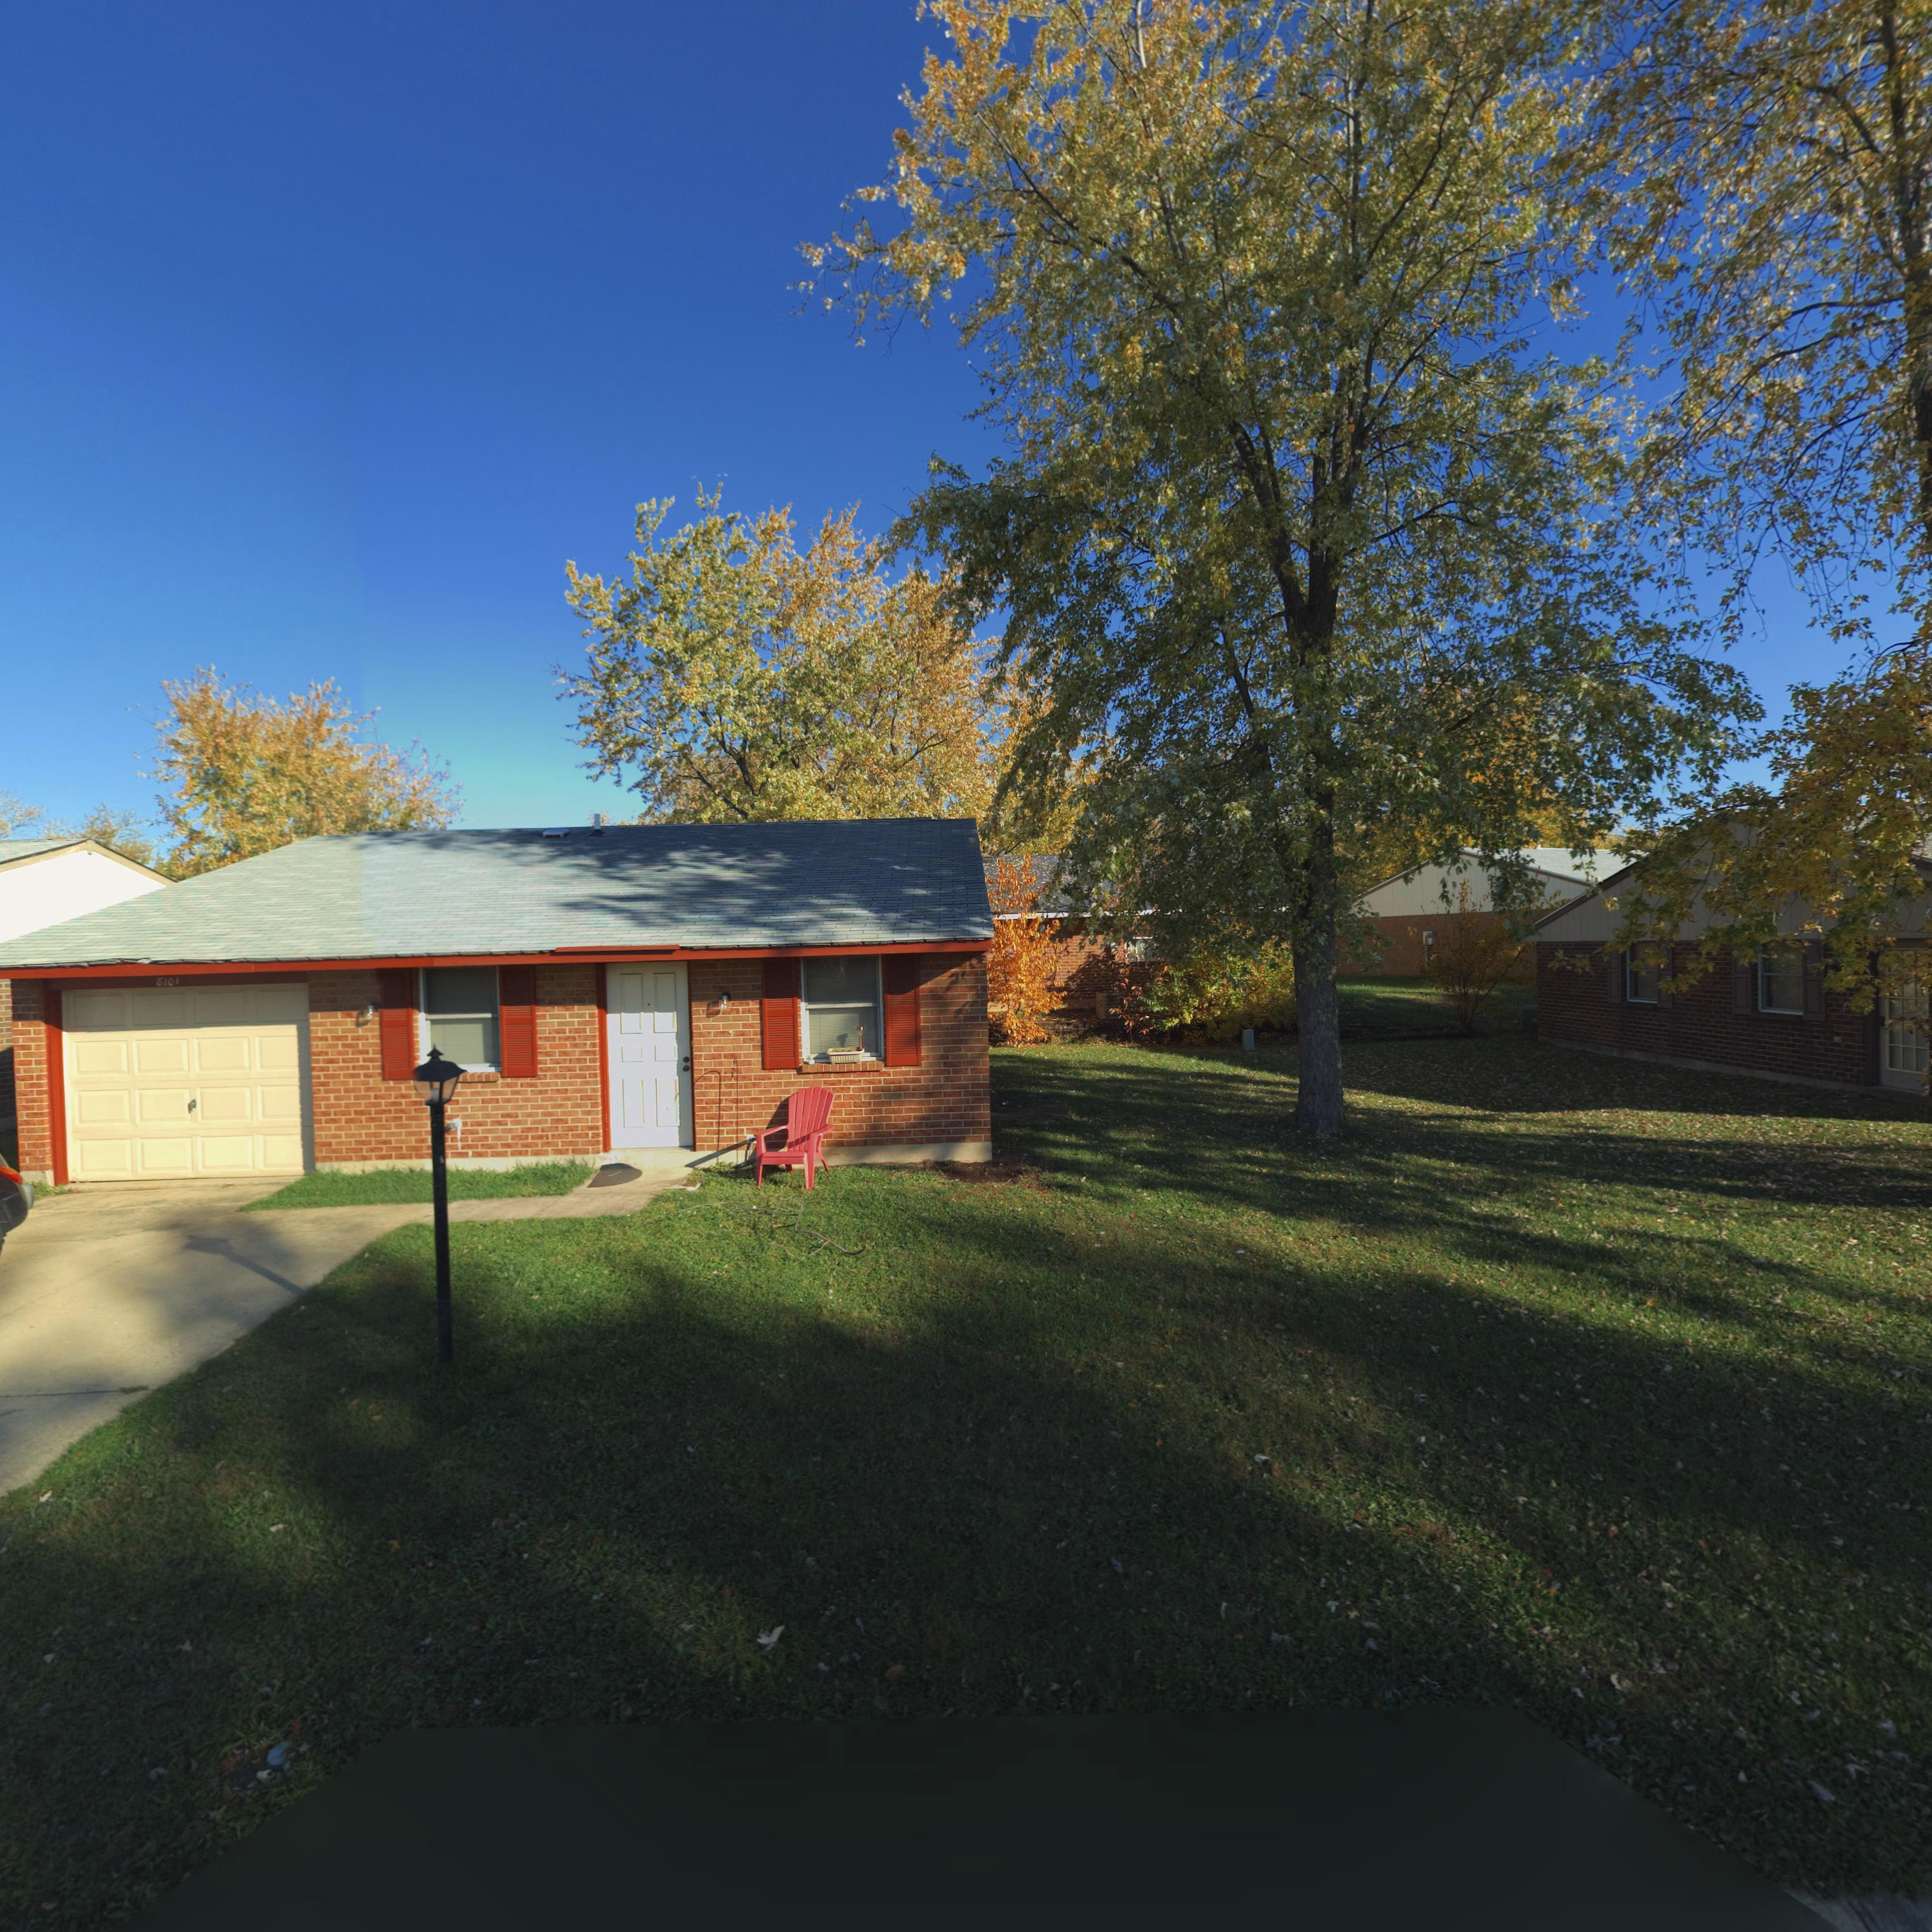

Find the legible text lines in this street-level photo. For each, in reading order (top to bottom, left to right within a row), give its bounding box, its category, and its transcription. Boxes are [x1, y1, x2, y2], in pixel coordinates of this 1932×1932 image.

[155, 975, 180, 988] StreetNumber: 8101